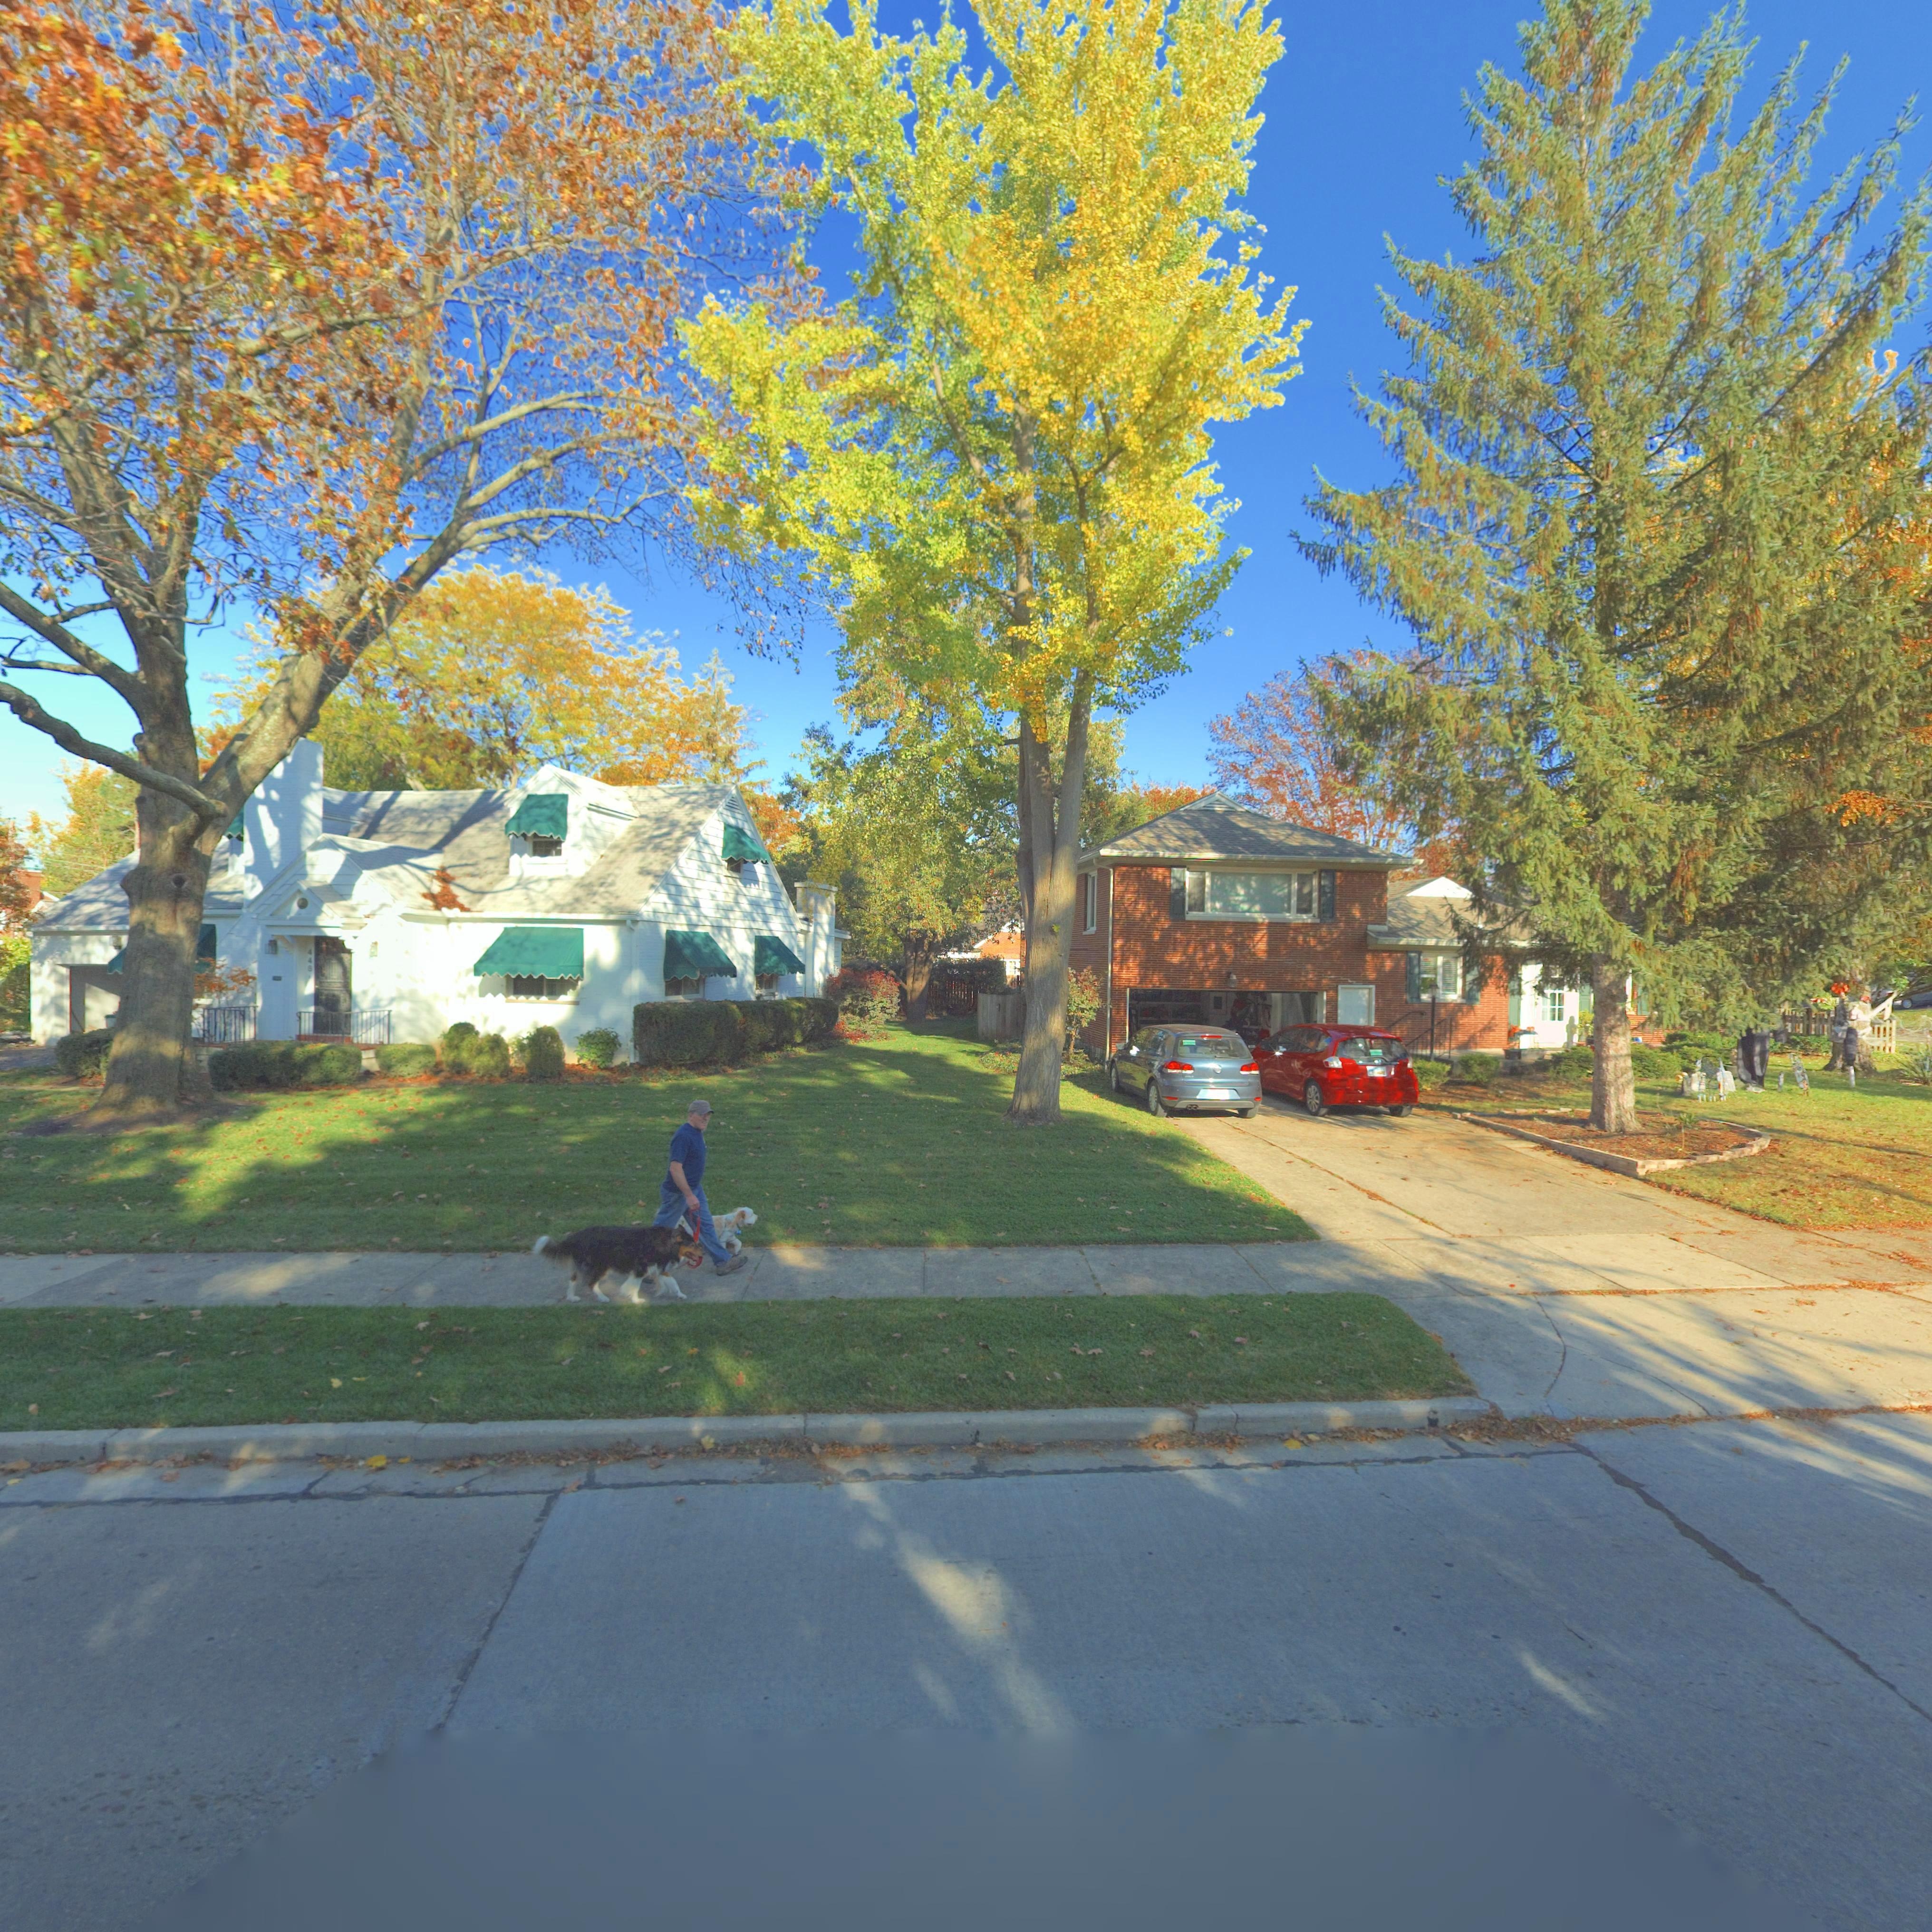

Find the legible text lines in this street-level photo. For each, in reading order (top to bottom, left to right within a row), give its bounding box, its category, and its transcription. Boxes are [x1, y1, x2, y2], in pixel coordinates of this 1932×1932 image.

[307, 948, 313, 973] StreetNumber: 448